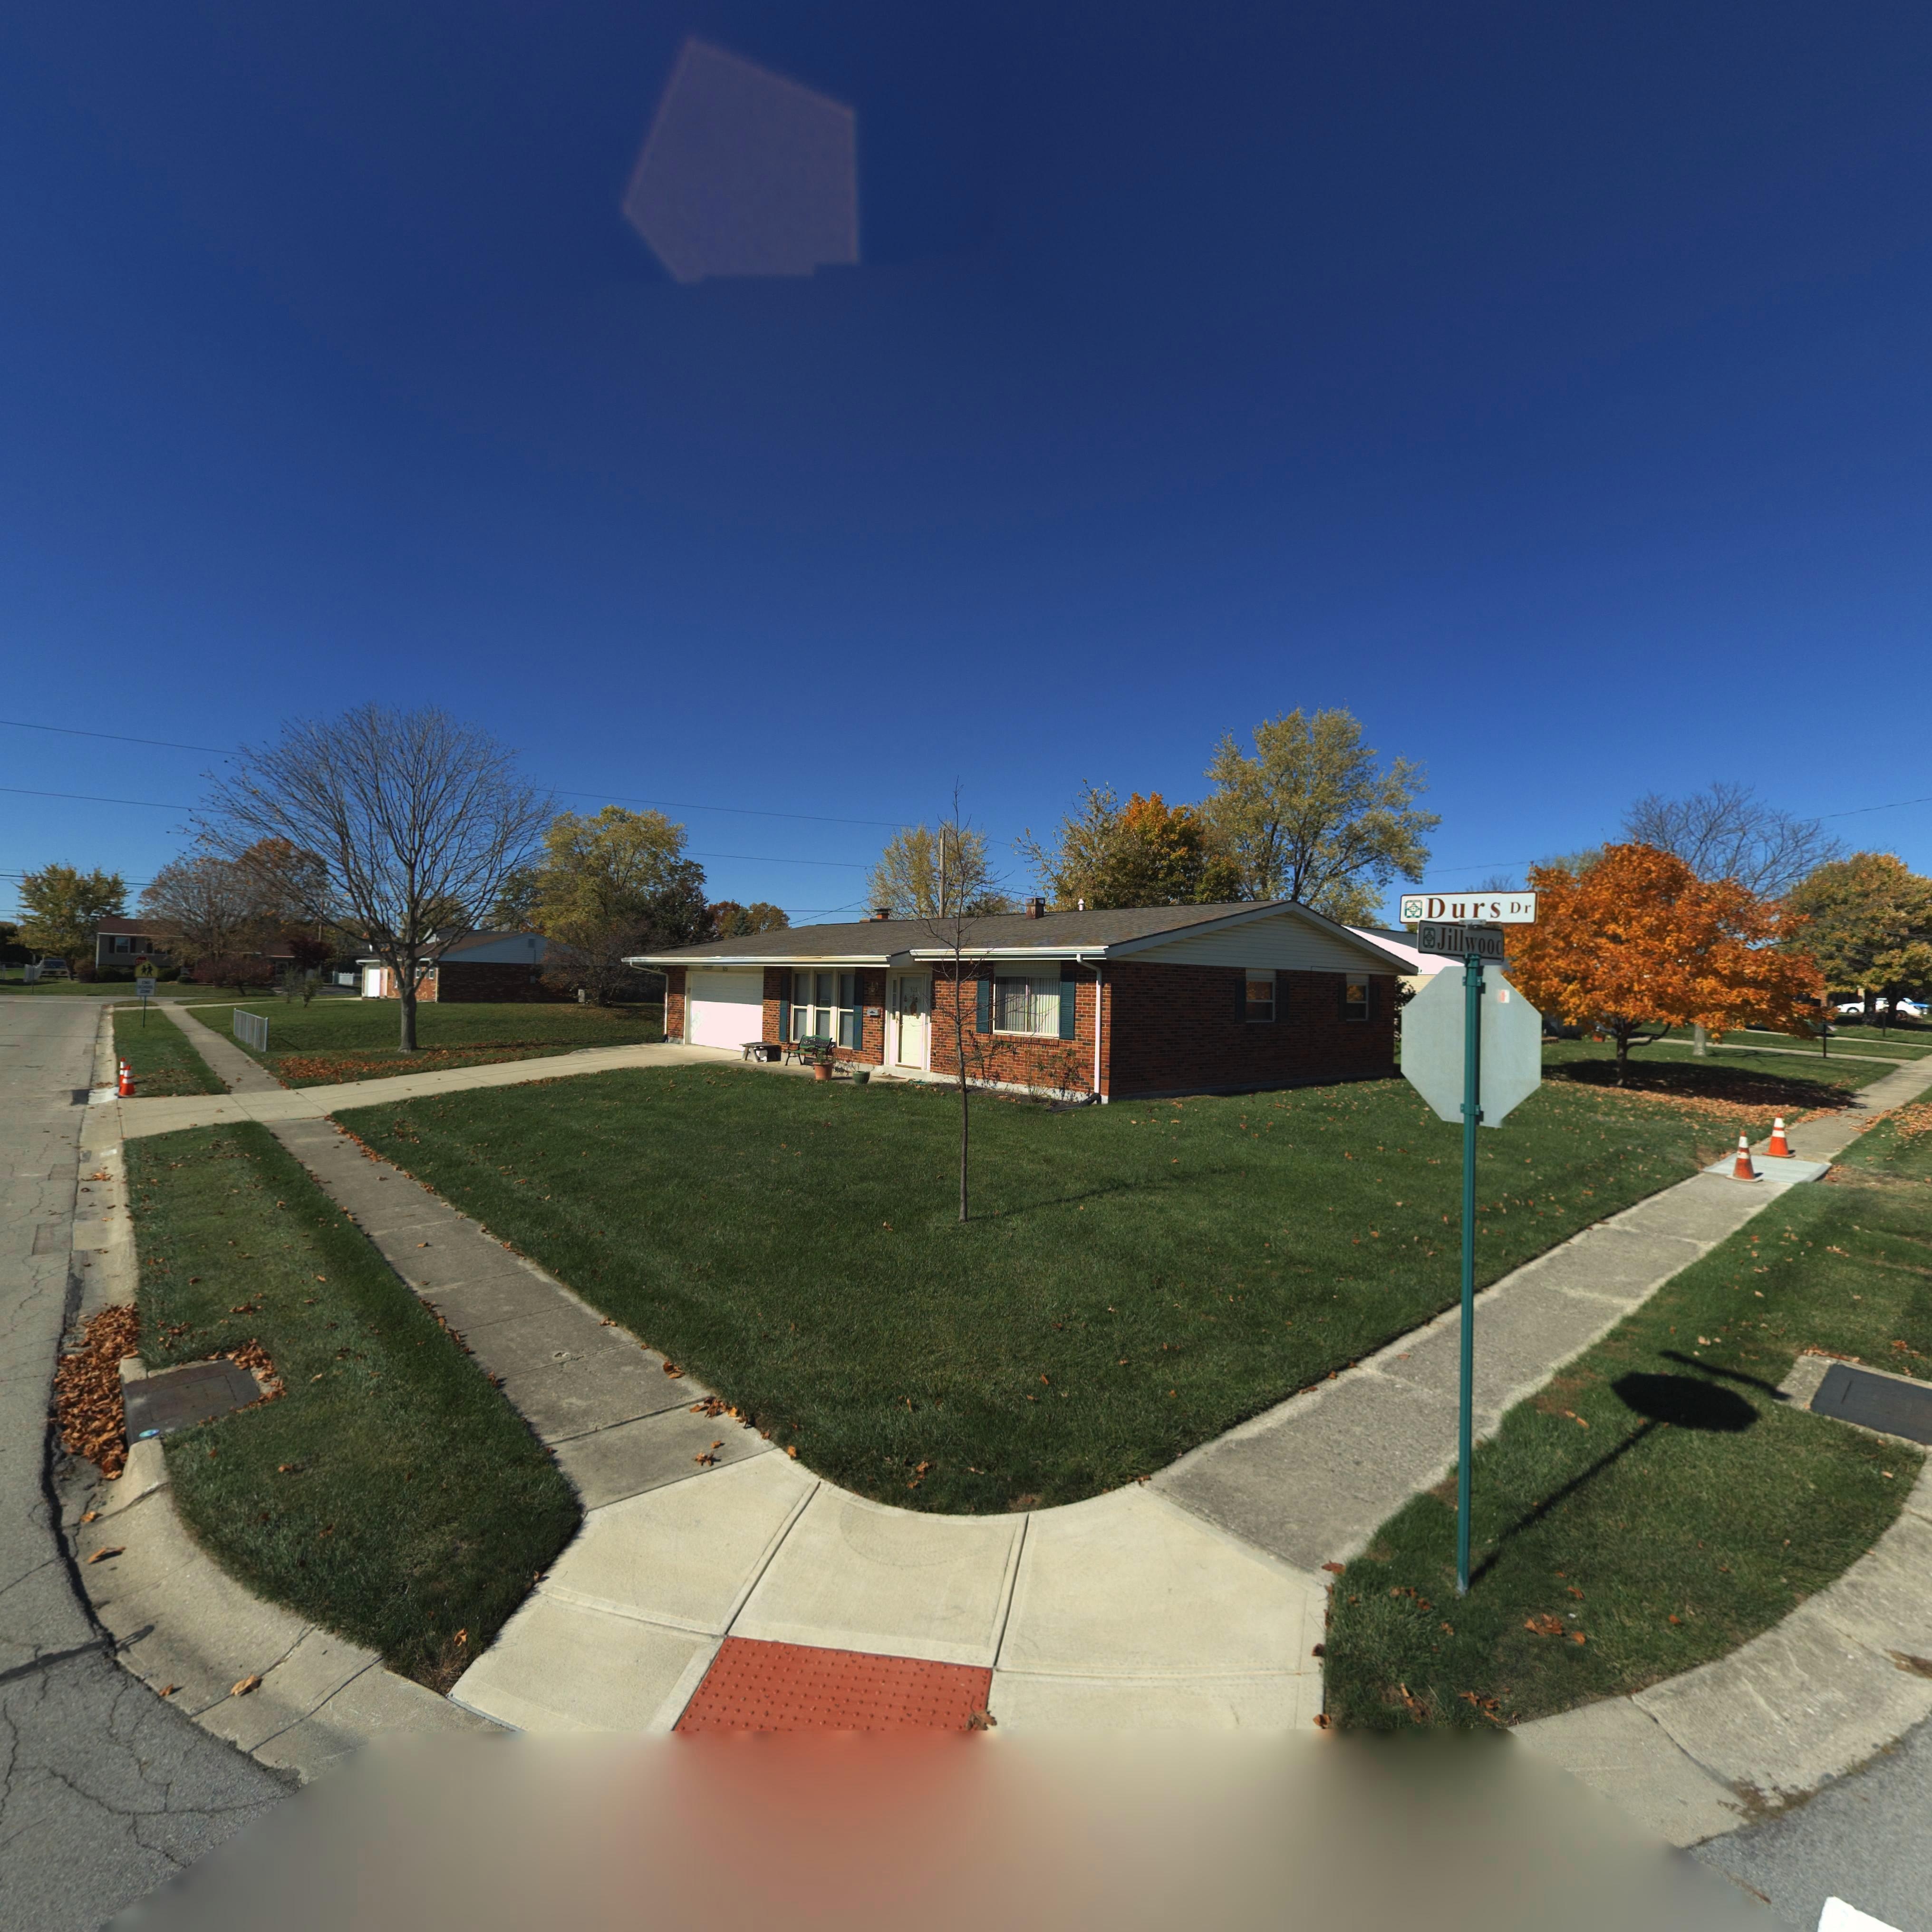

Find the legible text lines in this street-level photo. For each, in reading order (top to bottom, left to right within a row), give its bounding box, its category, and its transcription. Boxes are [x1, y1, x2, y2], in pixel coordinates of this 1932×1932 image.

[1423, 897, 1533, 919] StreetName: Durs Dr
[1435, 926, 1504, 957] StreetName: Jillwood
[909, 986, 919, 993] StreetNumber: *2*